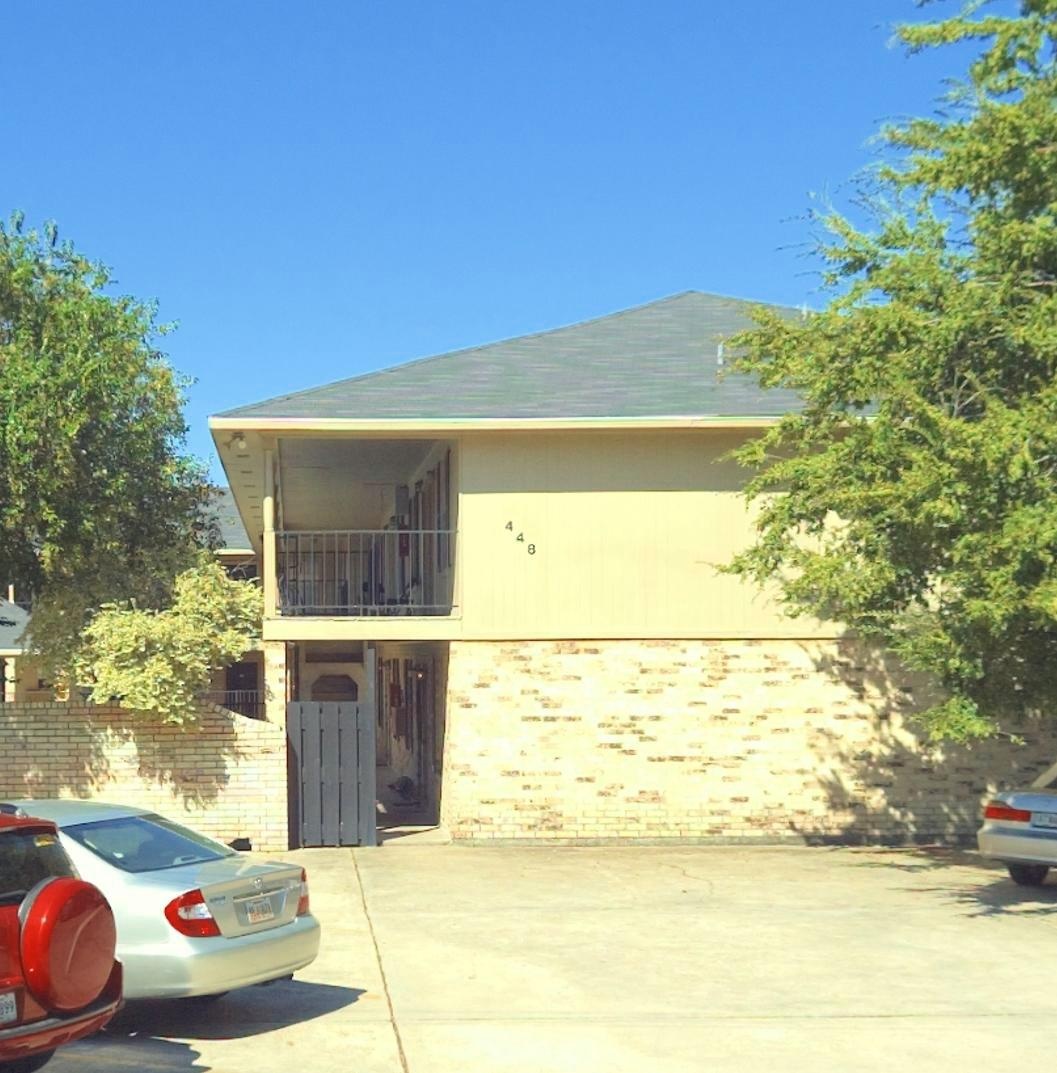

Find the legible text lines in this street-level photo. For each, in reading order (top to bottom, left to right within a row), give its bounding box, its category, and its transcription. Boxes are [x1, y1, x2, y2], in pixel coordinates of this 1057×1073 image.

[505, 520, 536, 555] StreetNumber: 448